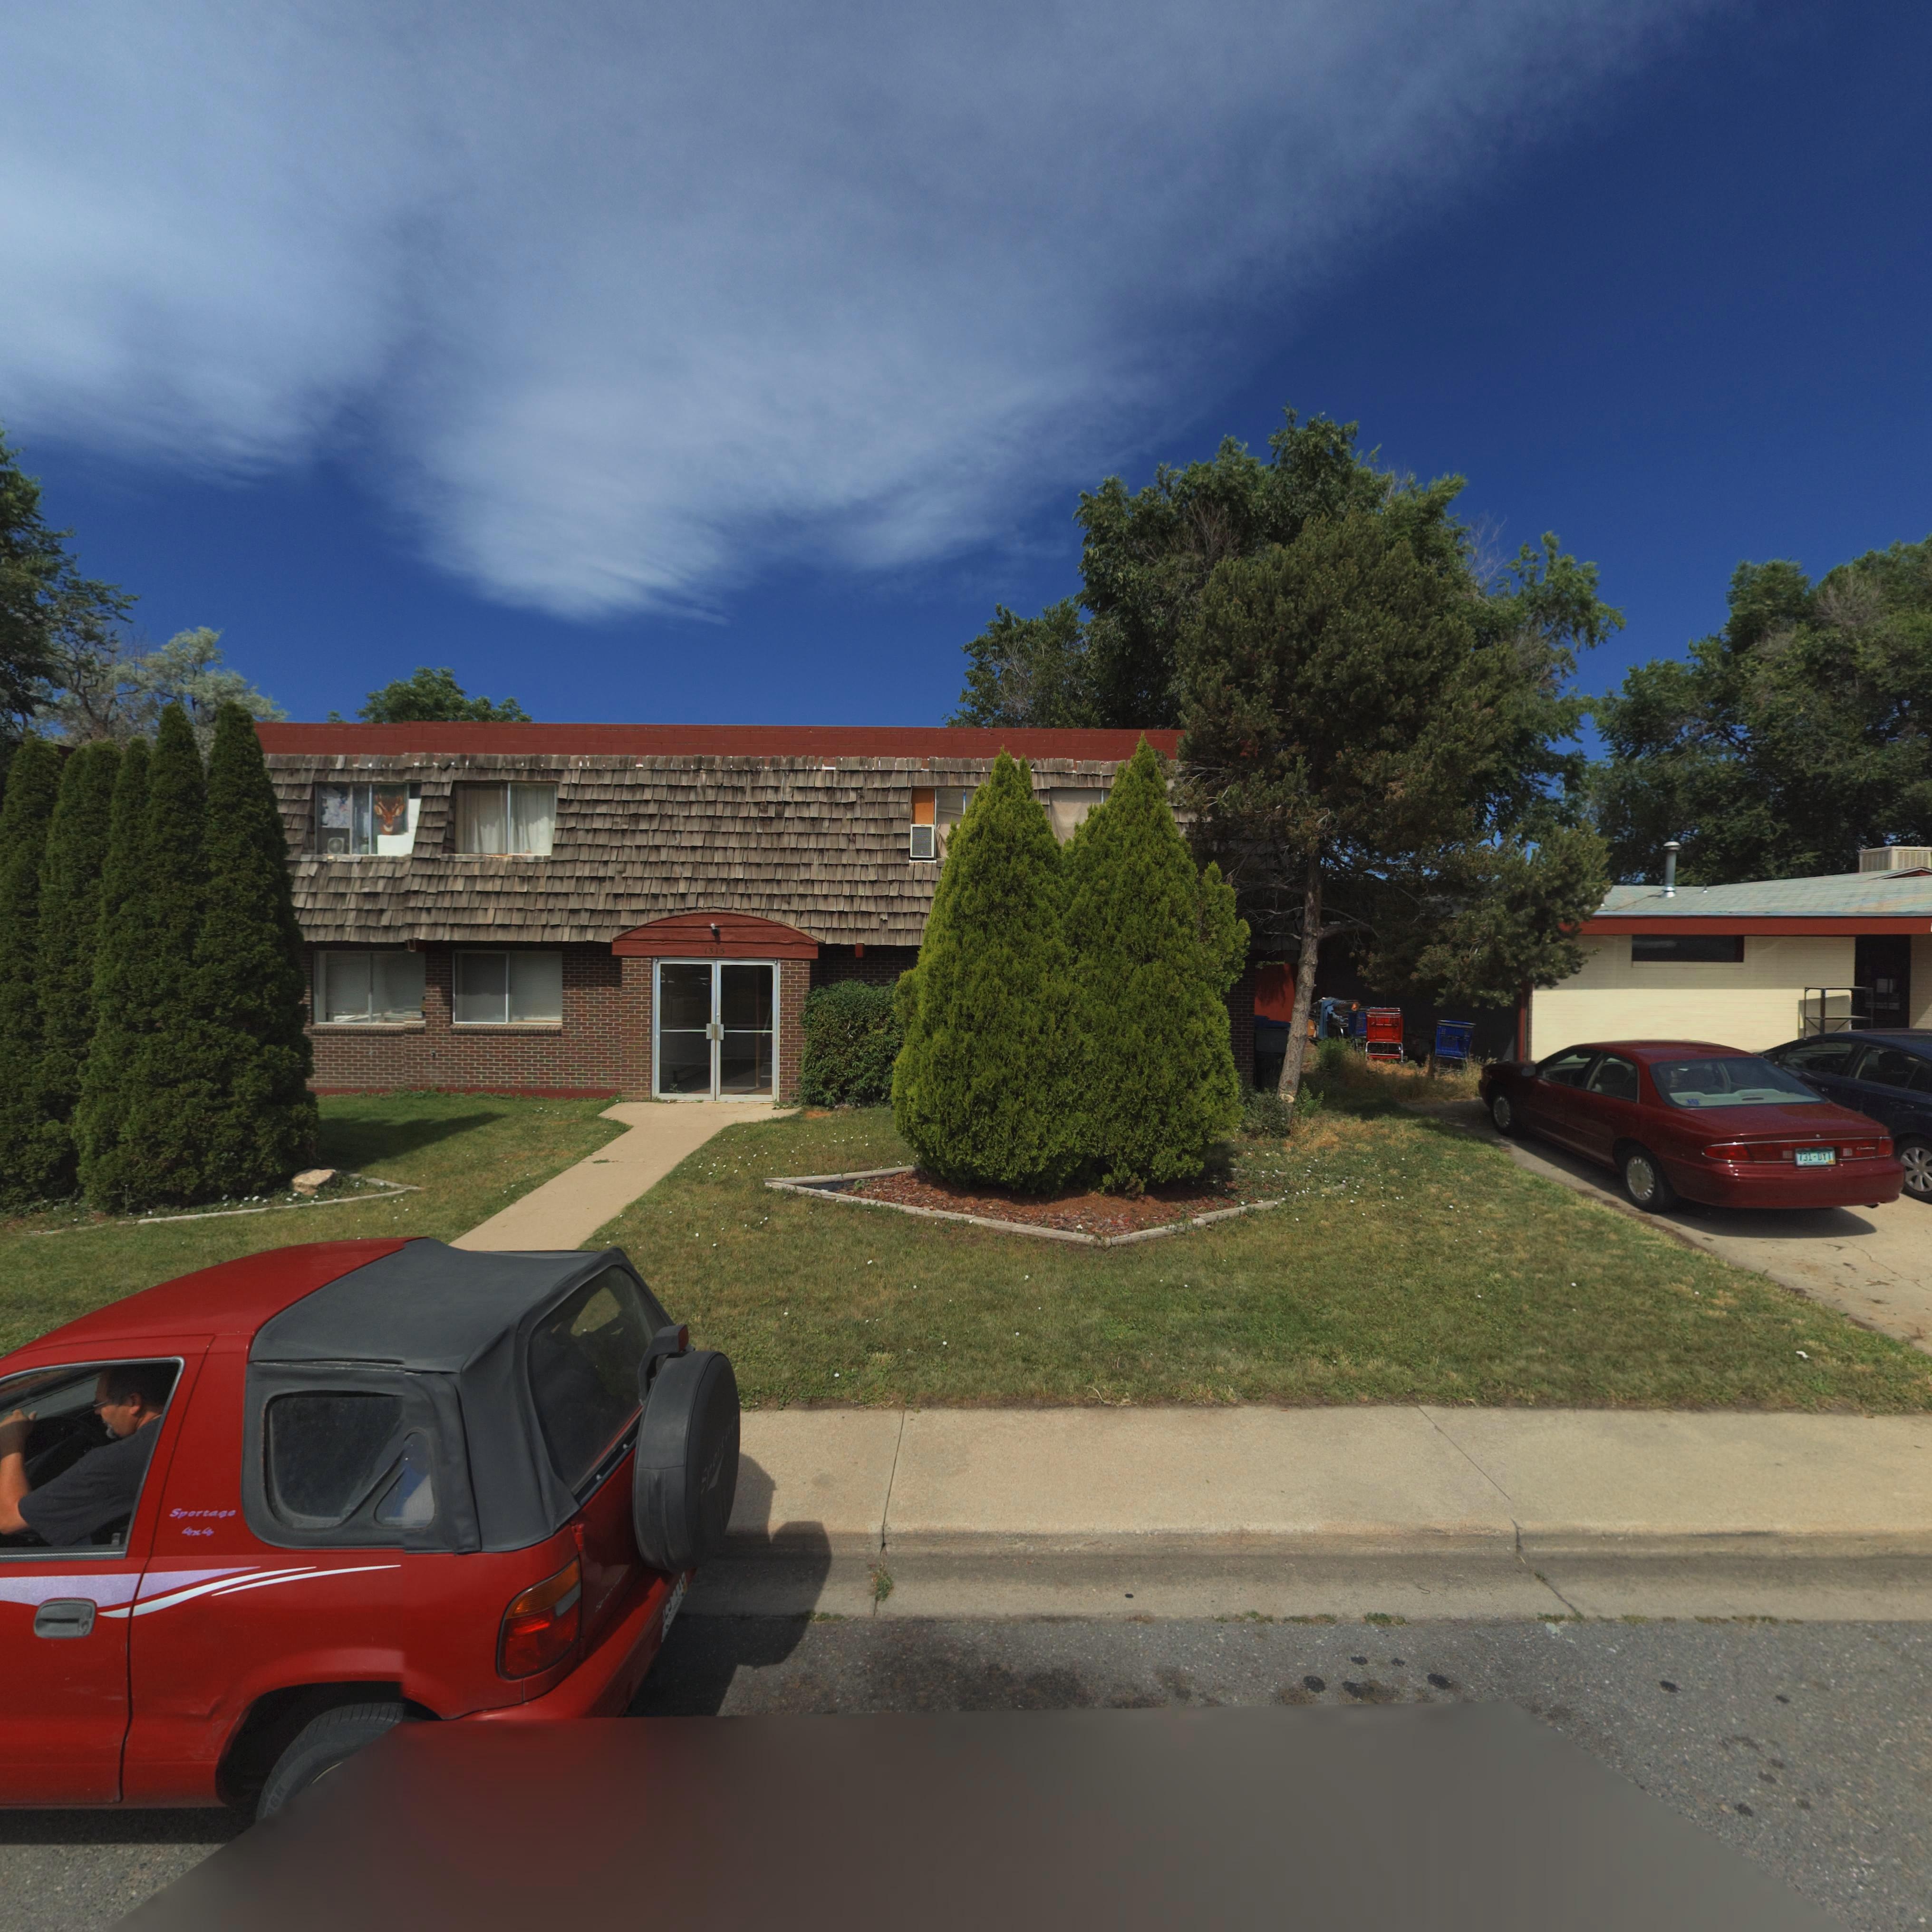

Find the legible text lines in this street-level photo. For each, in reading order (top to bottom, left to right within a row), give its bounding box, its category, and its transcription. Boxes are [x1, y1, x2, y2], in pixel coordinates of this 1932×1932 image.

[704, 947, 724, 955] StreetNumber: 1315